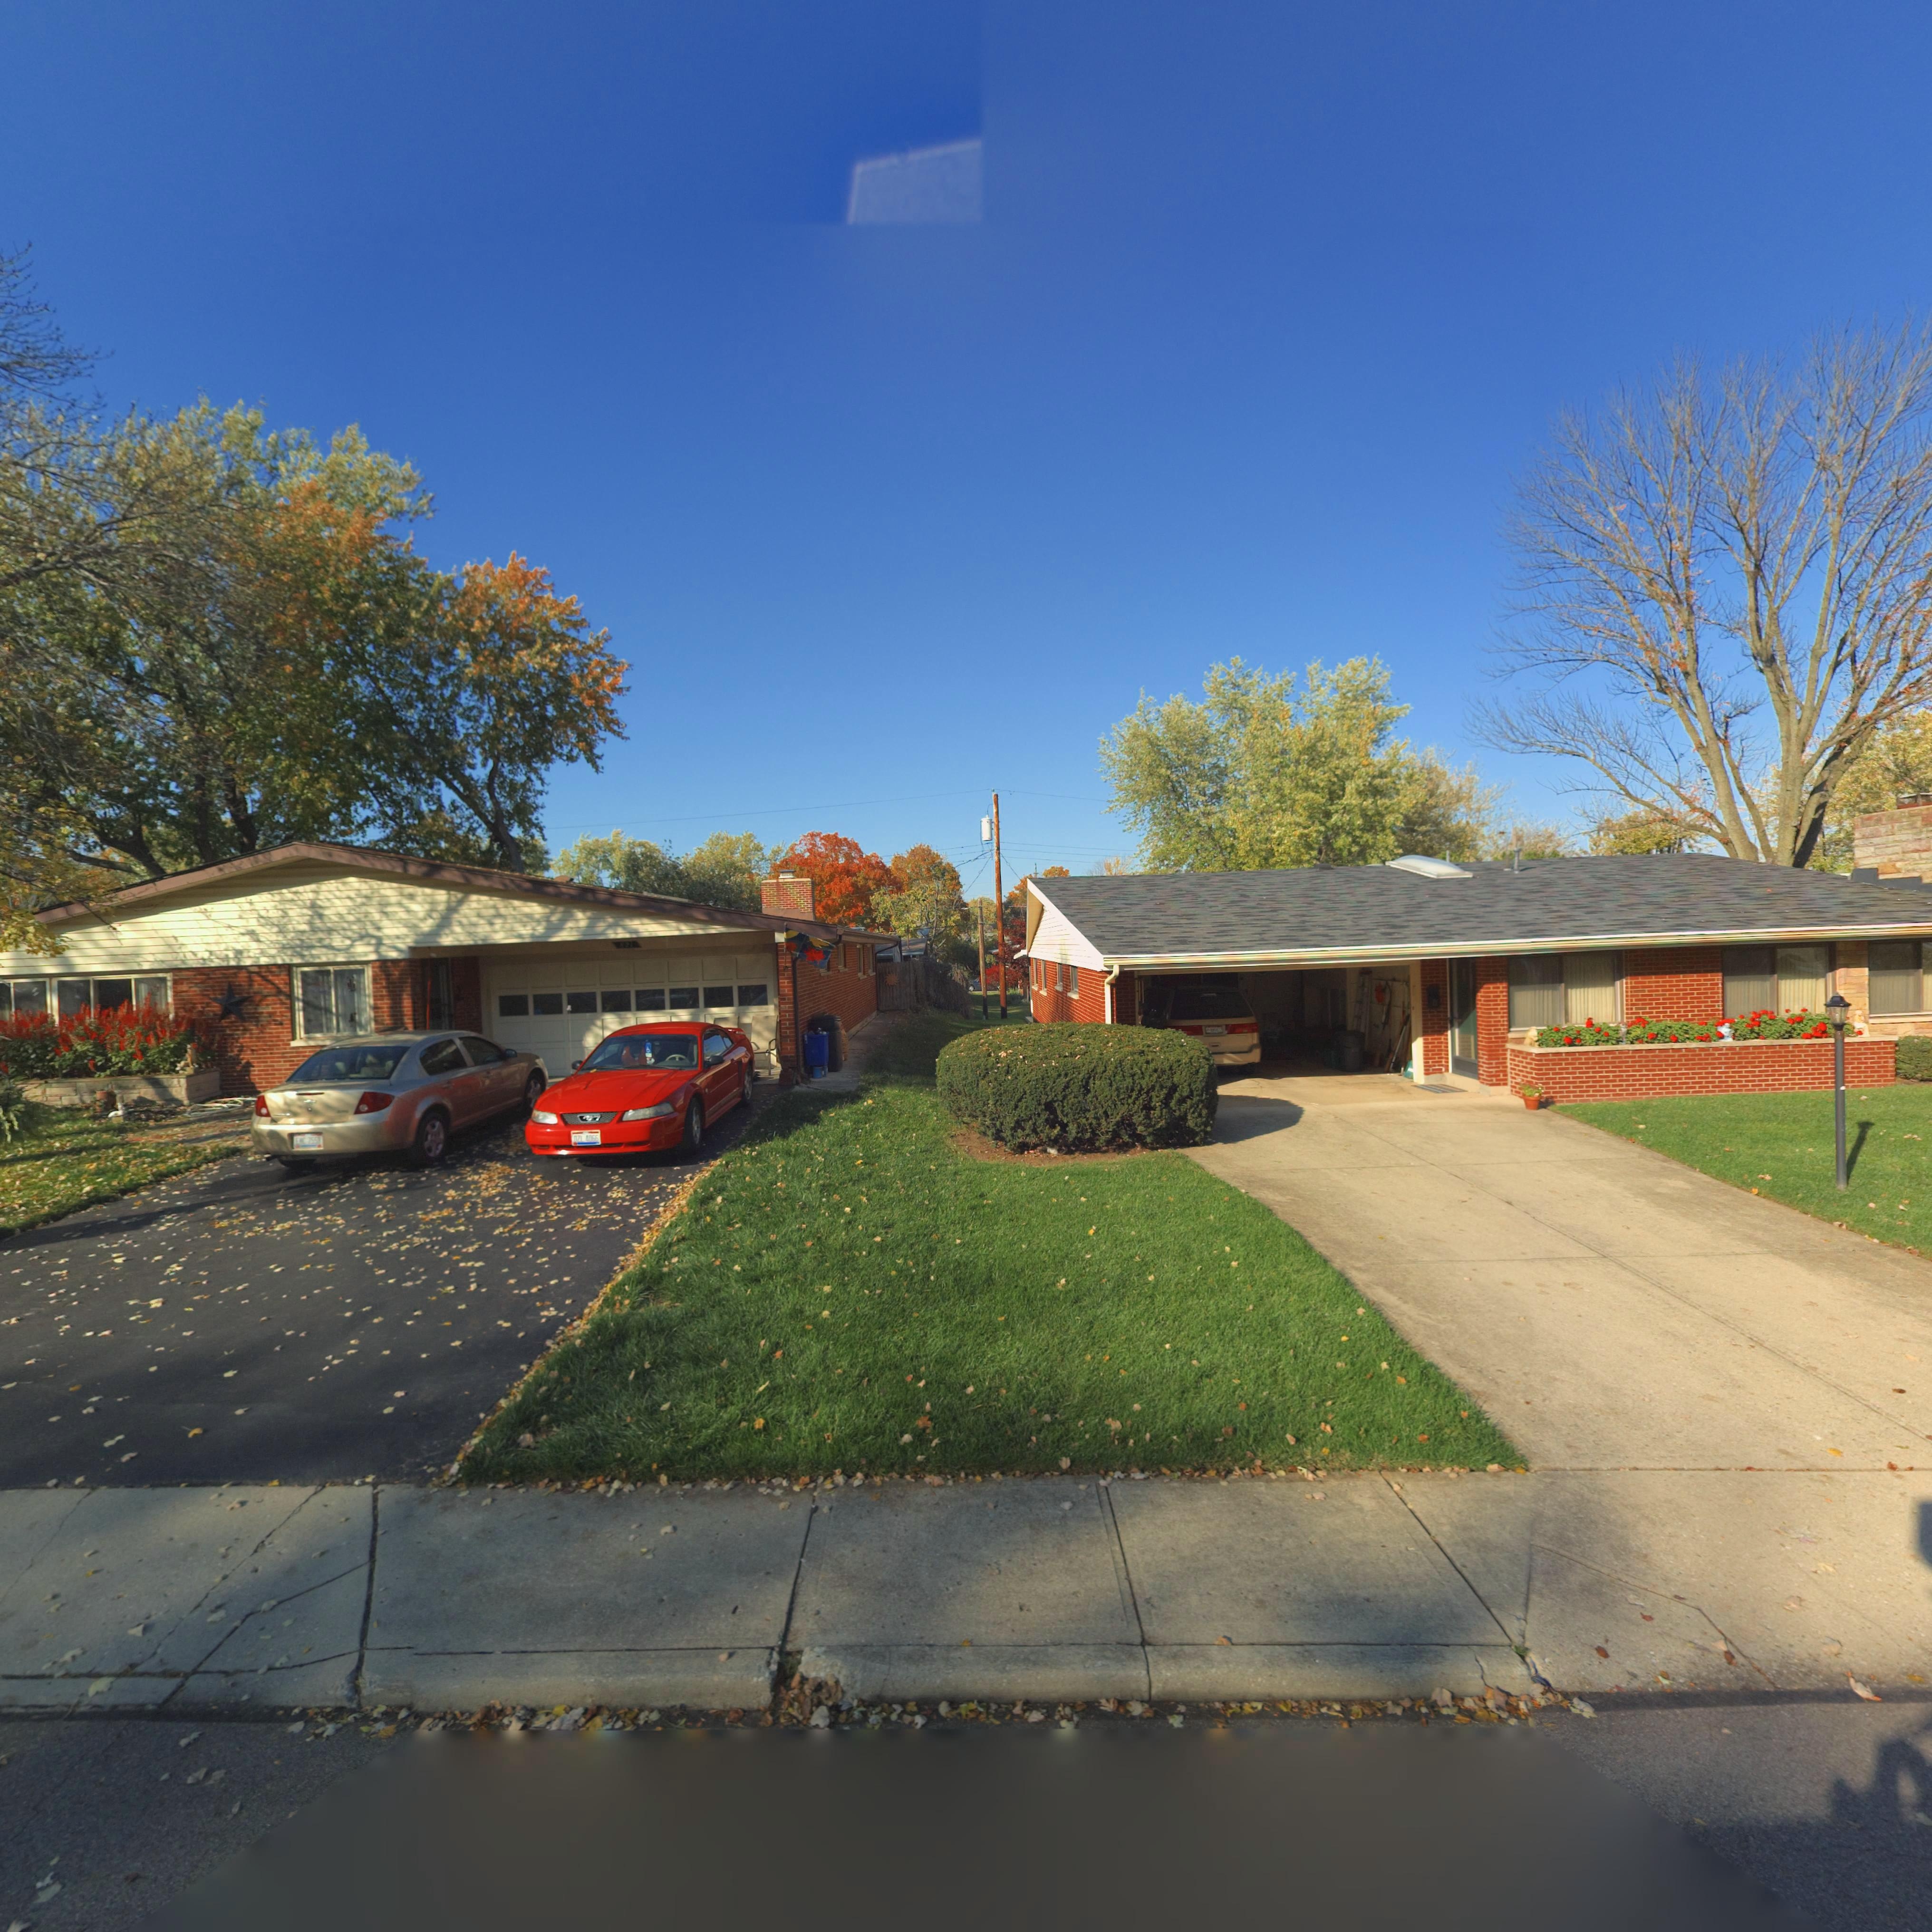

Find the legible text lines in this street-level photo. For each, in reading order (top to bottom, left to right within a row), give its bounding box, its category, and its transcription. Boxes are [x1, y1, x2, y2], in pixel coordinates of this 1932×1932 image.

[618, 941, 633, 948] StreetNumber: 821